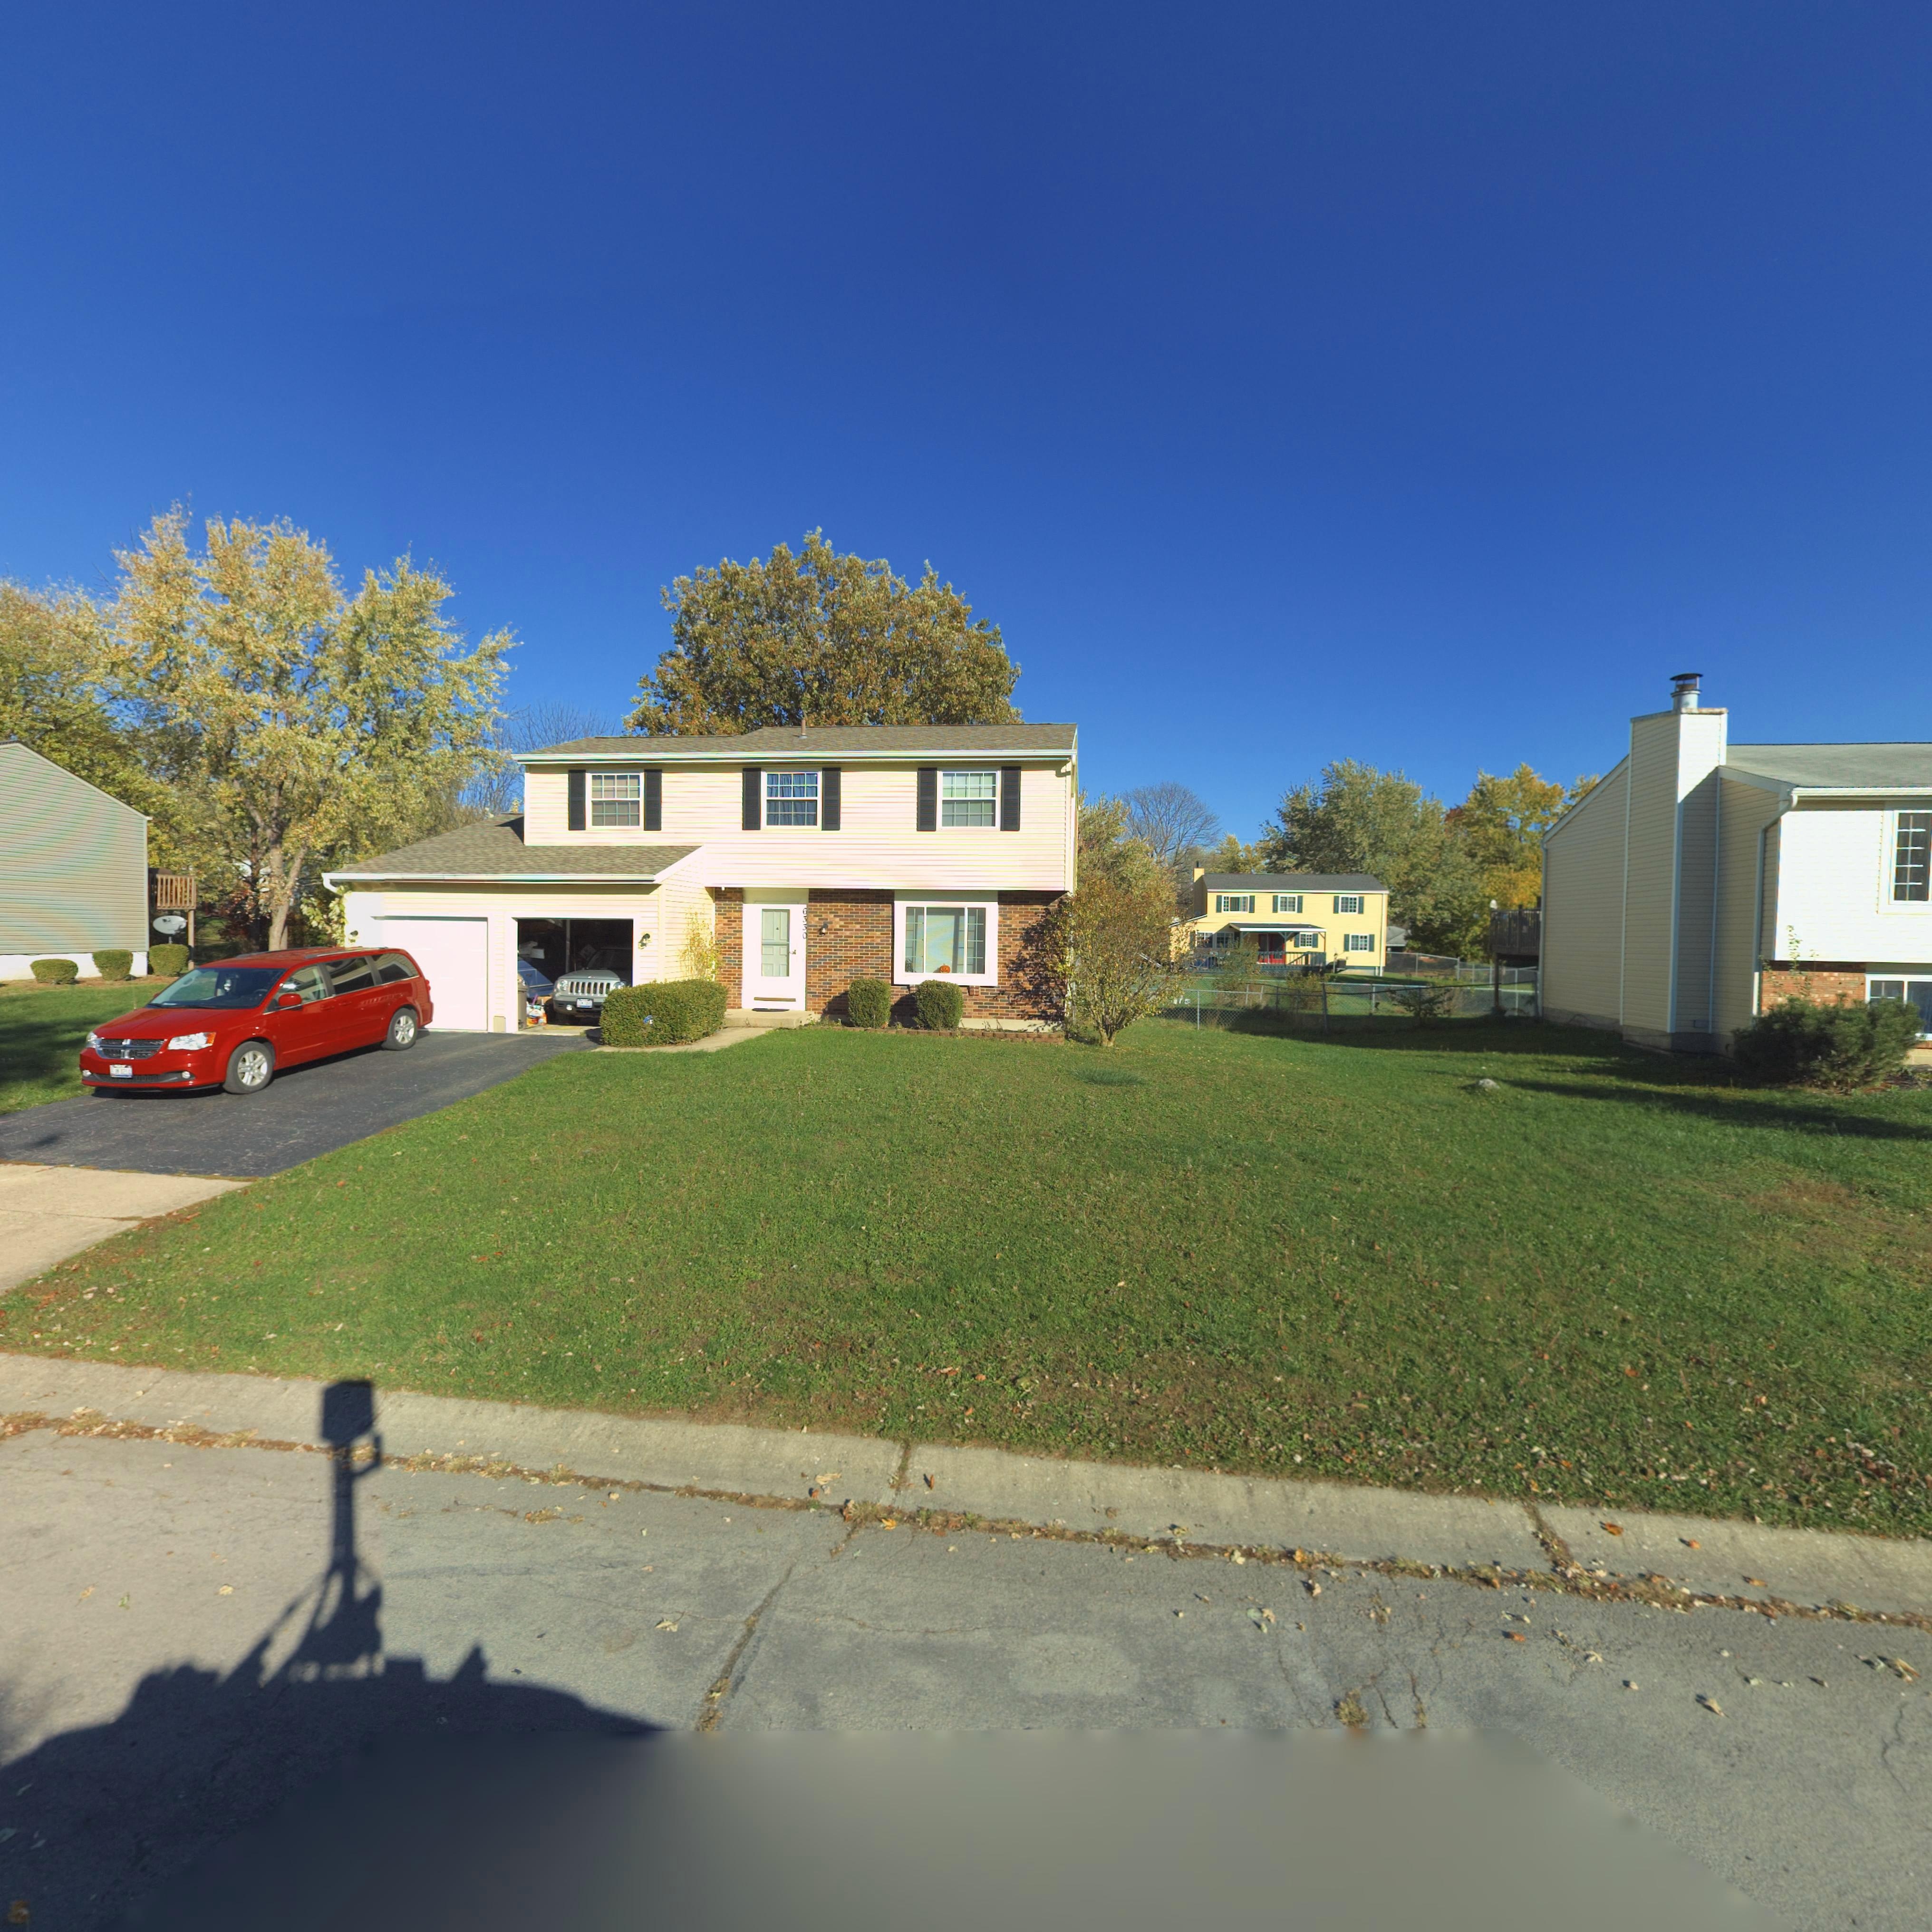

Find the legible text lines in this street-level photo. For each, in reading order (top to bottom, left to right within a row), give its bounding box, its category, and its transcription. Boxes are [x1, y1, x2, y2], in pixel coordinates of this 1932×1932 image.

[801, 906, 809, 941] StreetNumber: 6330